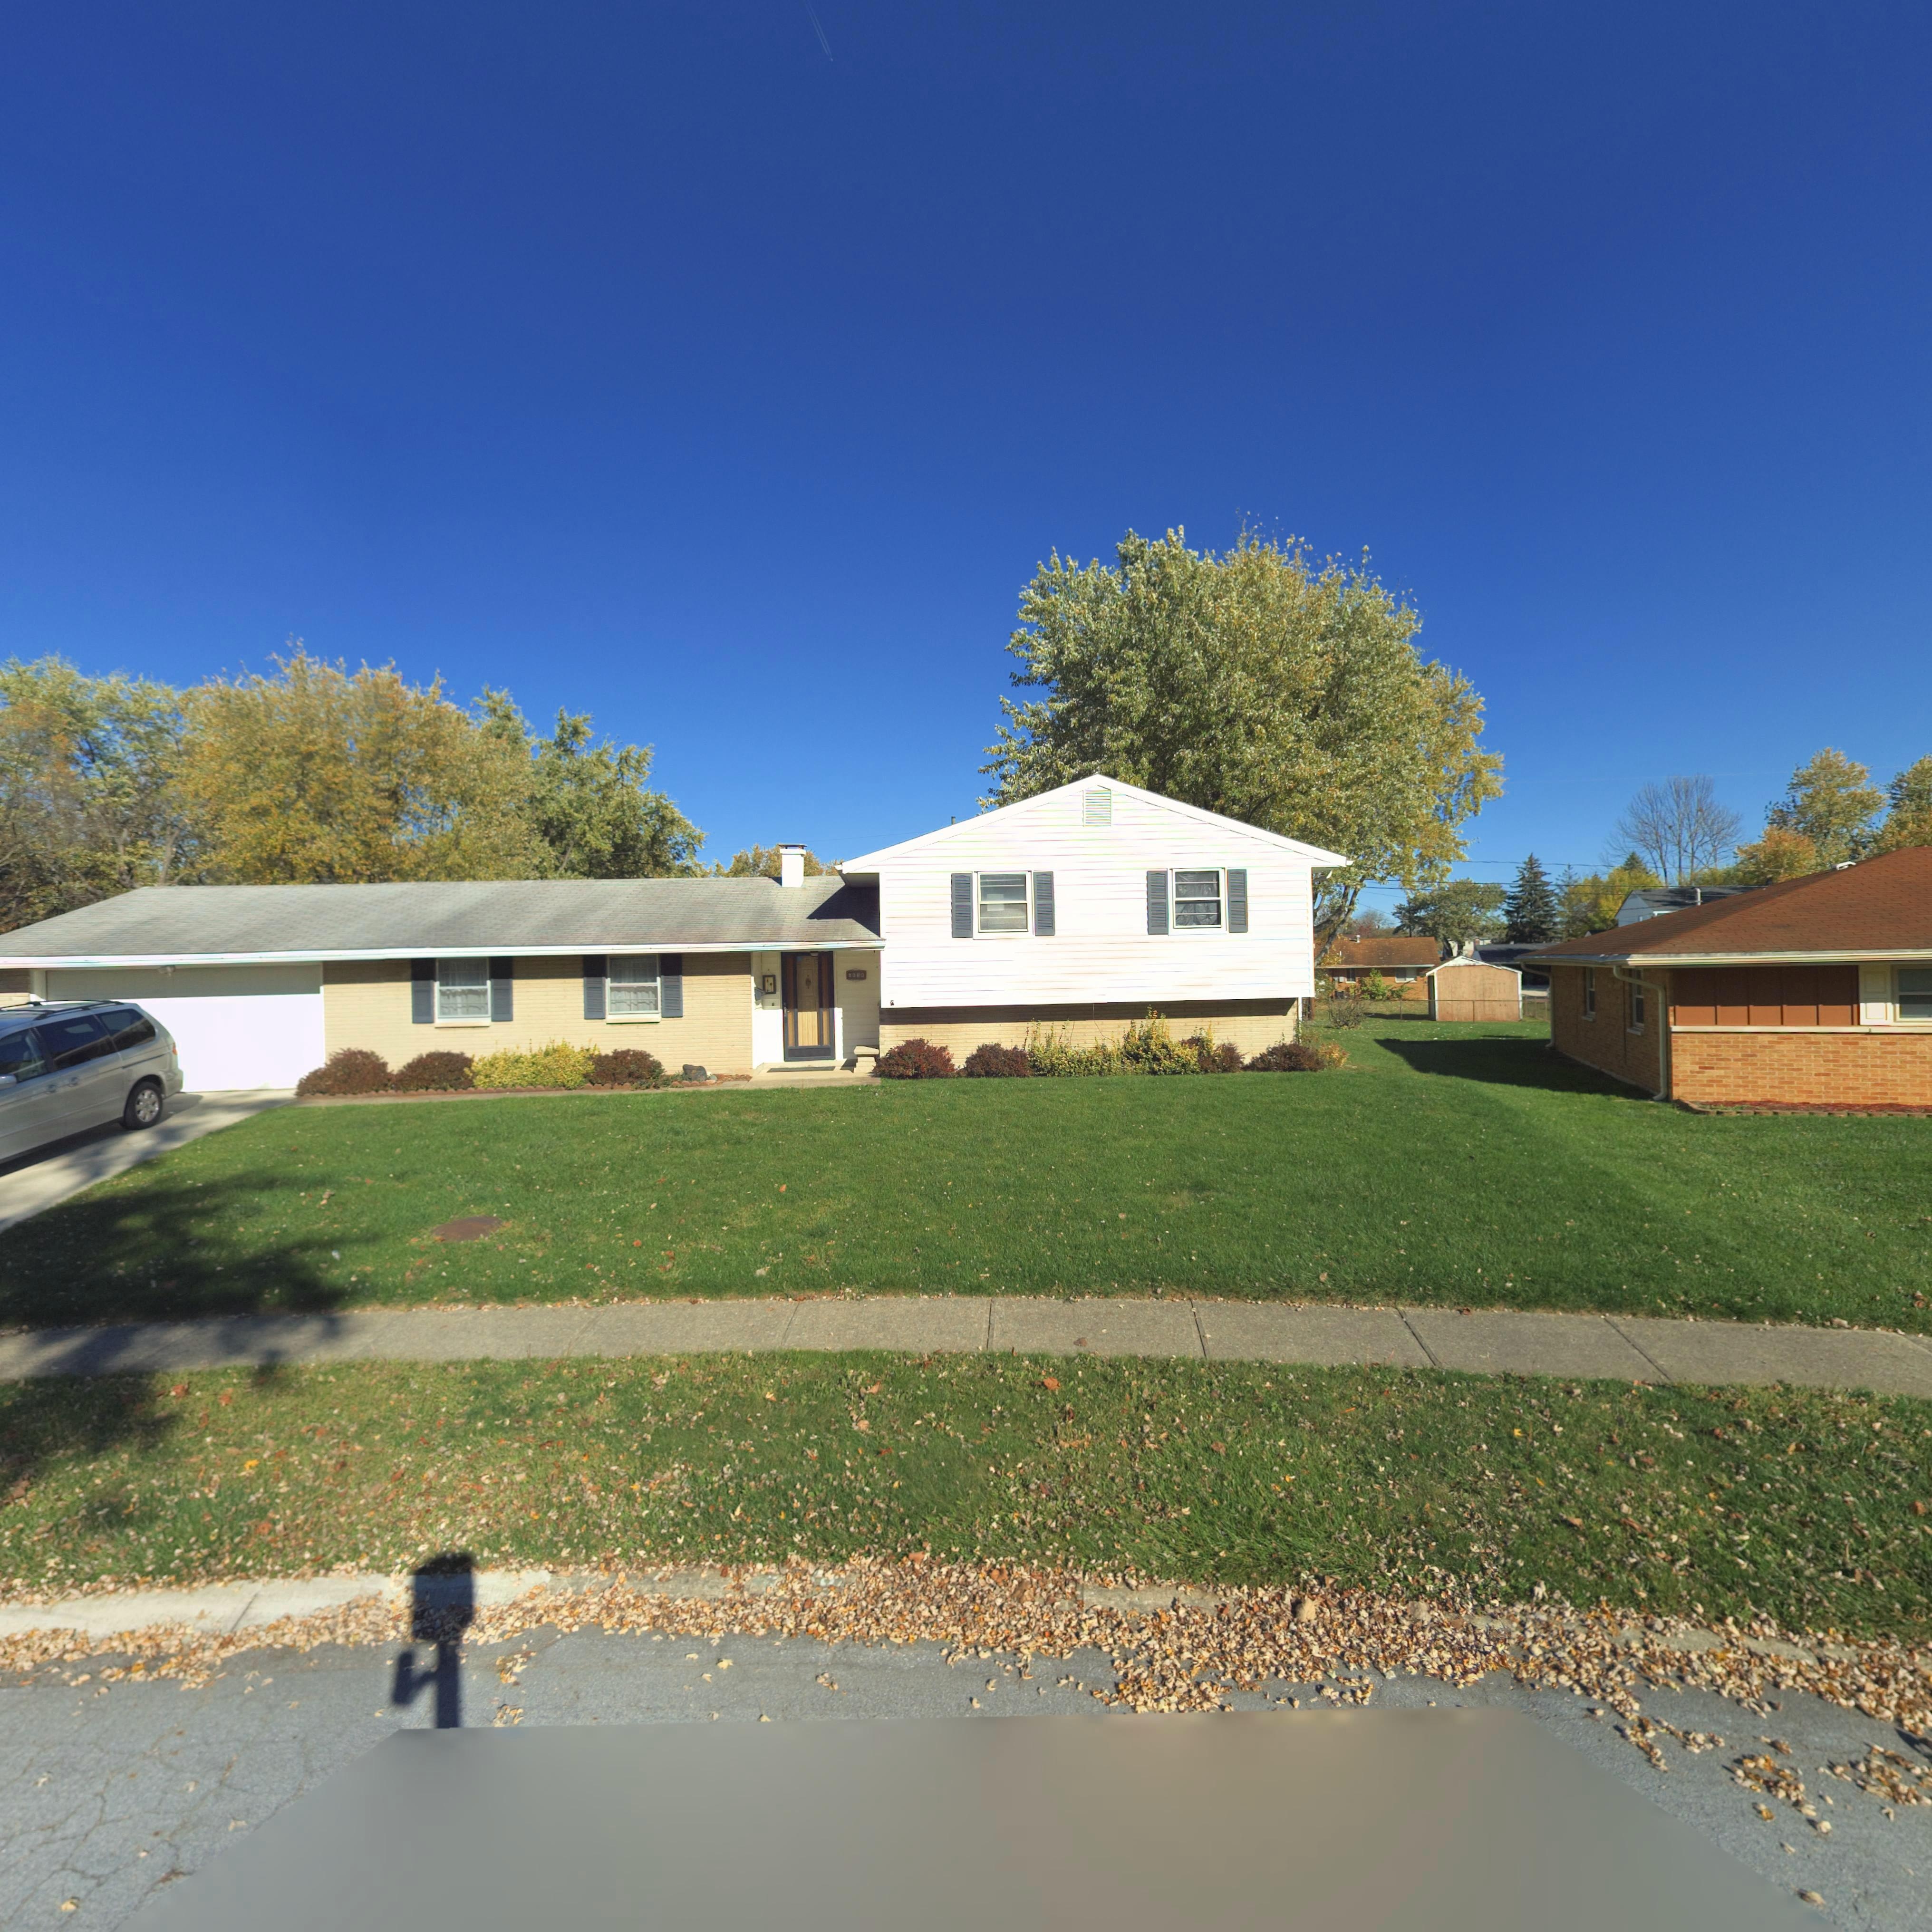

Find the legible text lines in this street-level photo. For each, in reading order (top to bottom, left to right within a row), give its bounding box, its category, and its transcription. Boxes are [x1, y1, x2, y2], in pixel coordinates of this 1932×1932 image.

[848, 973, 864, 978] StreetNumber: 3060